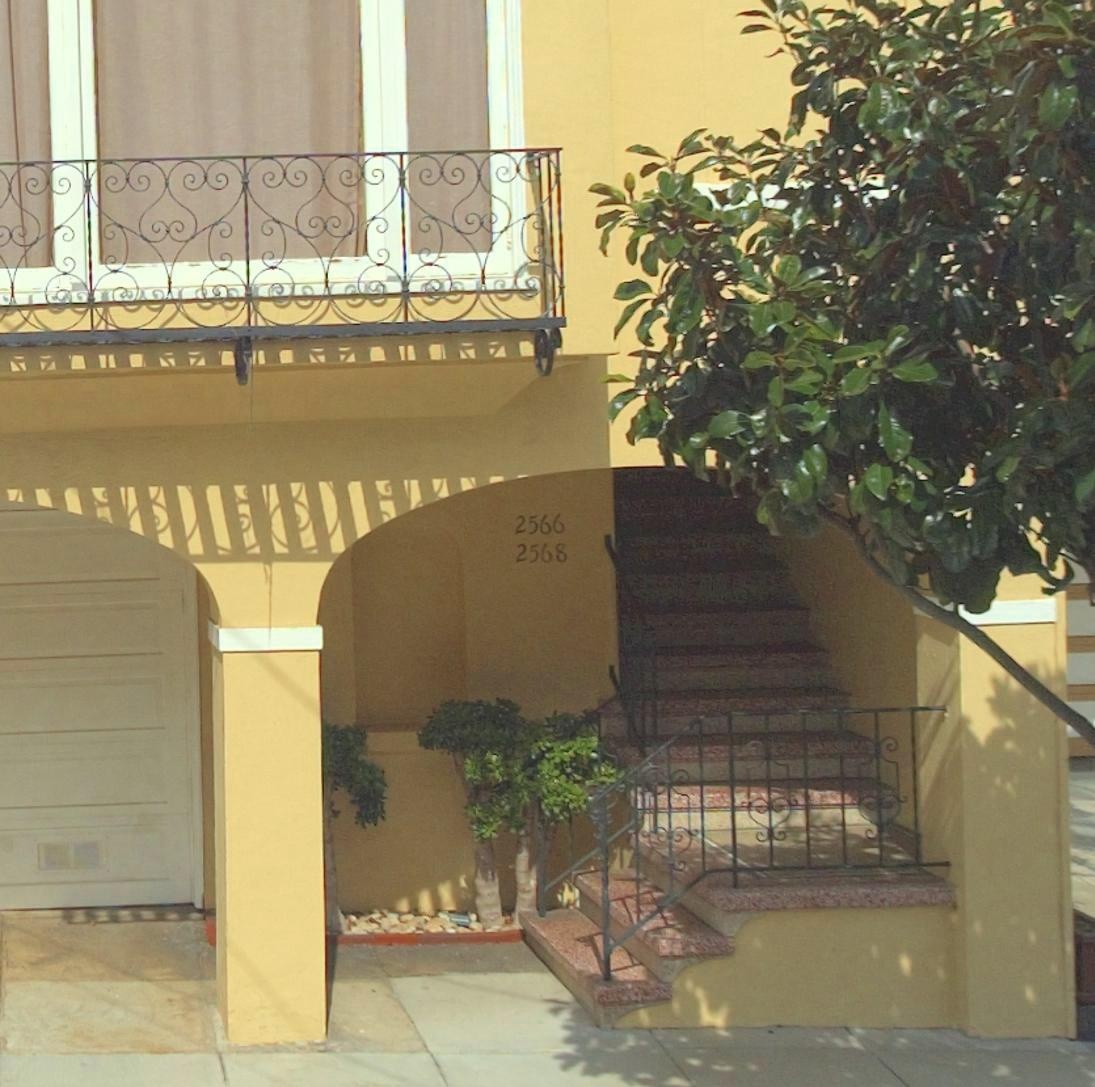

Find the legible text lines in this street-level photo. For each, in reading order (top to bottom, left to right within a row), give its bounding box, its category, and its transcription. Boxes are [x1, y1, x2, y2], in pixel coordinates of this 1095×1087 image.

[512, 510, 569, 538] StreetNumber: 2566
[513, 539, 571, 567] StreetNumber: 2568